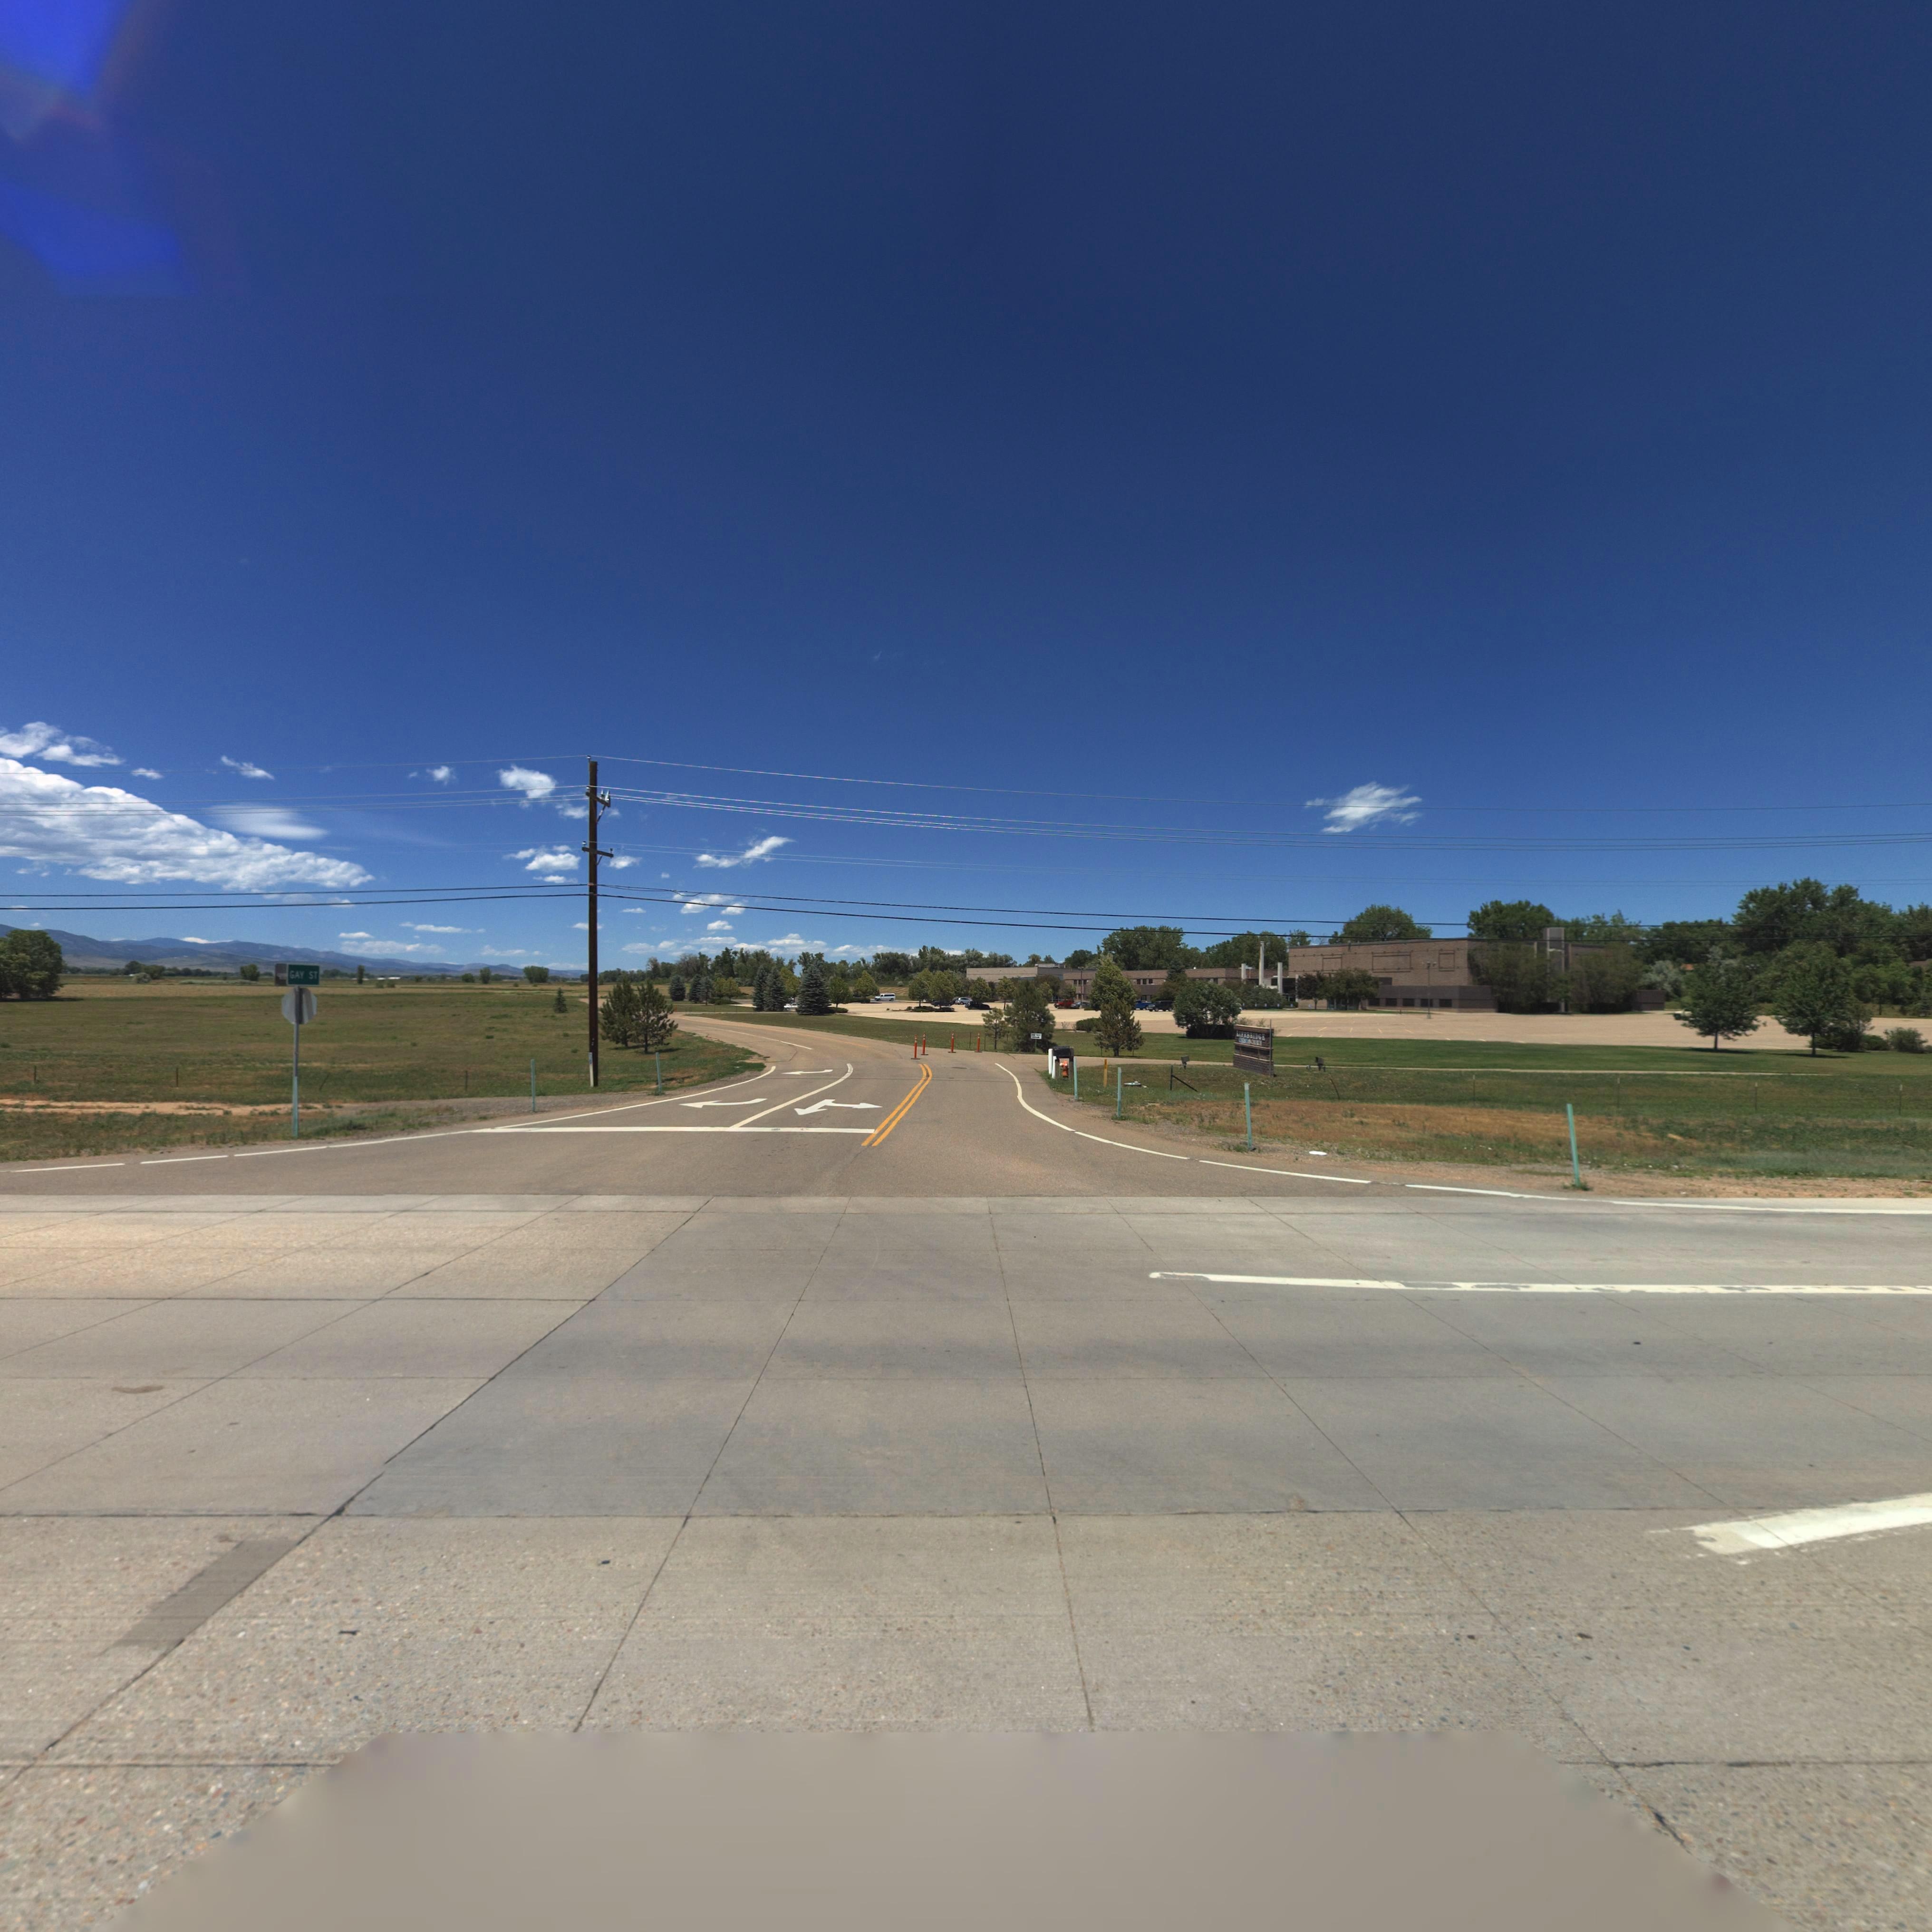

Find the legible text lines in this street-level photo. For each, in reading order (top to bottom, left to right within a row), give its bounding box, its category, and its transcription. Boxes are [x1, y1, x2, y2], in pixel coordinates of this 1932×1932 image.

[289, 970, 318, 979] StreetName: GAY ST
[1236, 1030, 1265, 1041] BusinessName: LIFEBRIDGE